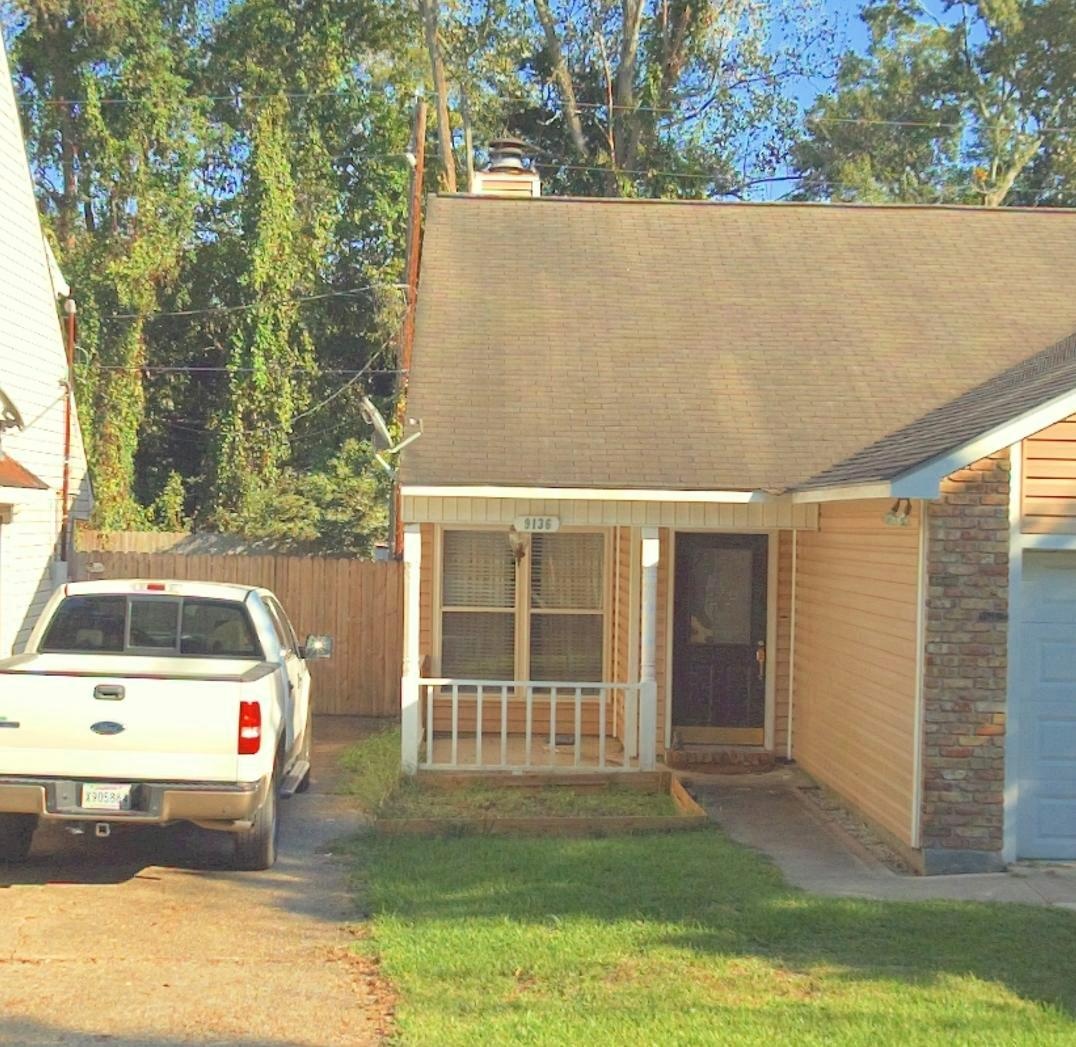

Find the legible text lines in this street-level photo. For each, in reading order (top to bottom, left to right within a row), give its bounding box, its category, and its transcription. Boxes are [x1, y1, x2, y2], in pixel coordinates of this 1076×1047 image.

[524, 518, 553, 530] StreetNumber: 9136
[84, 791, 129, 804] None: *9058*